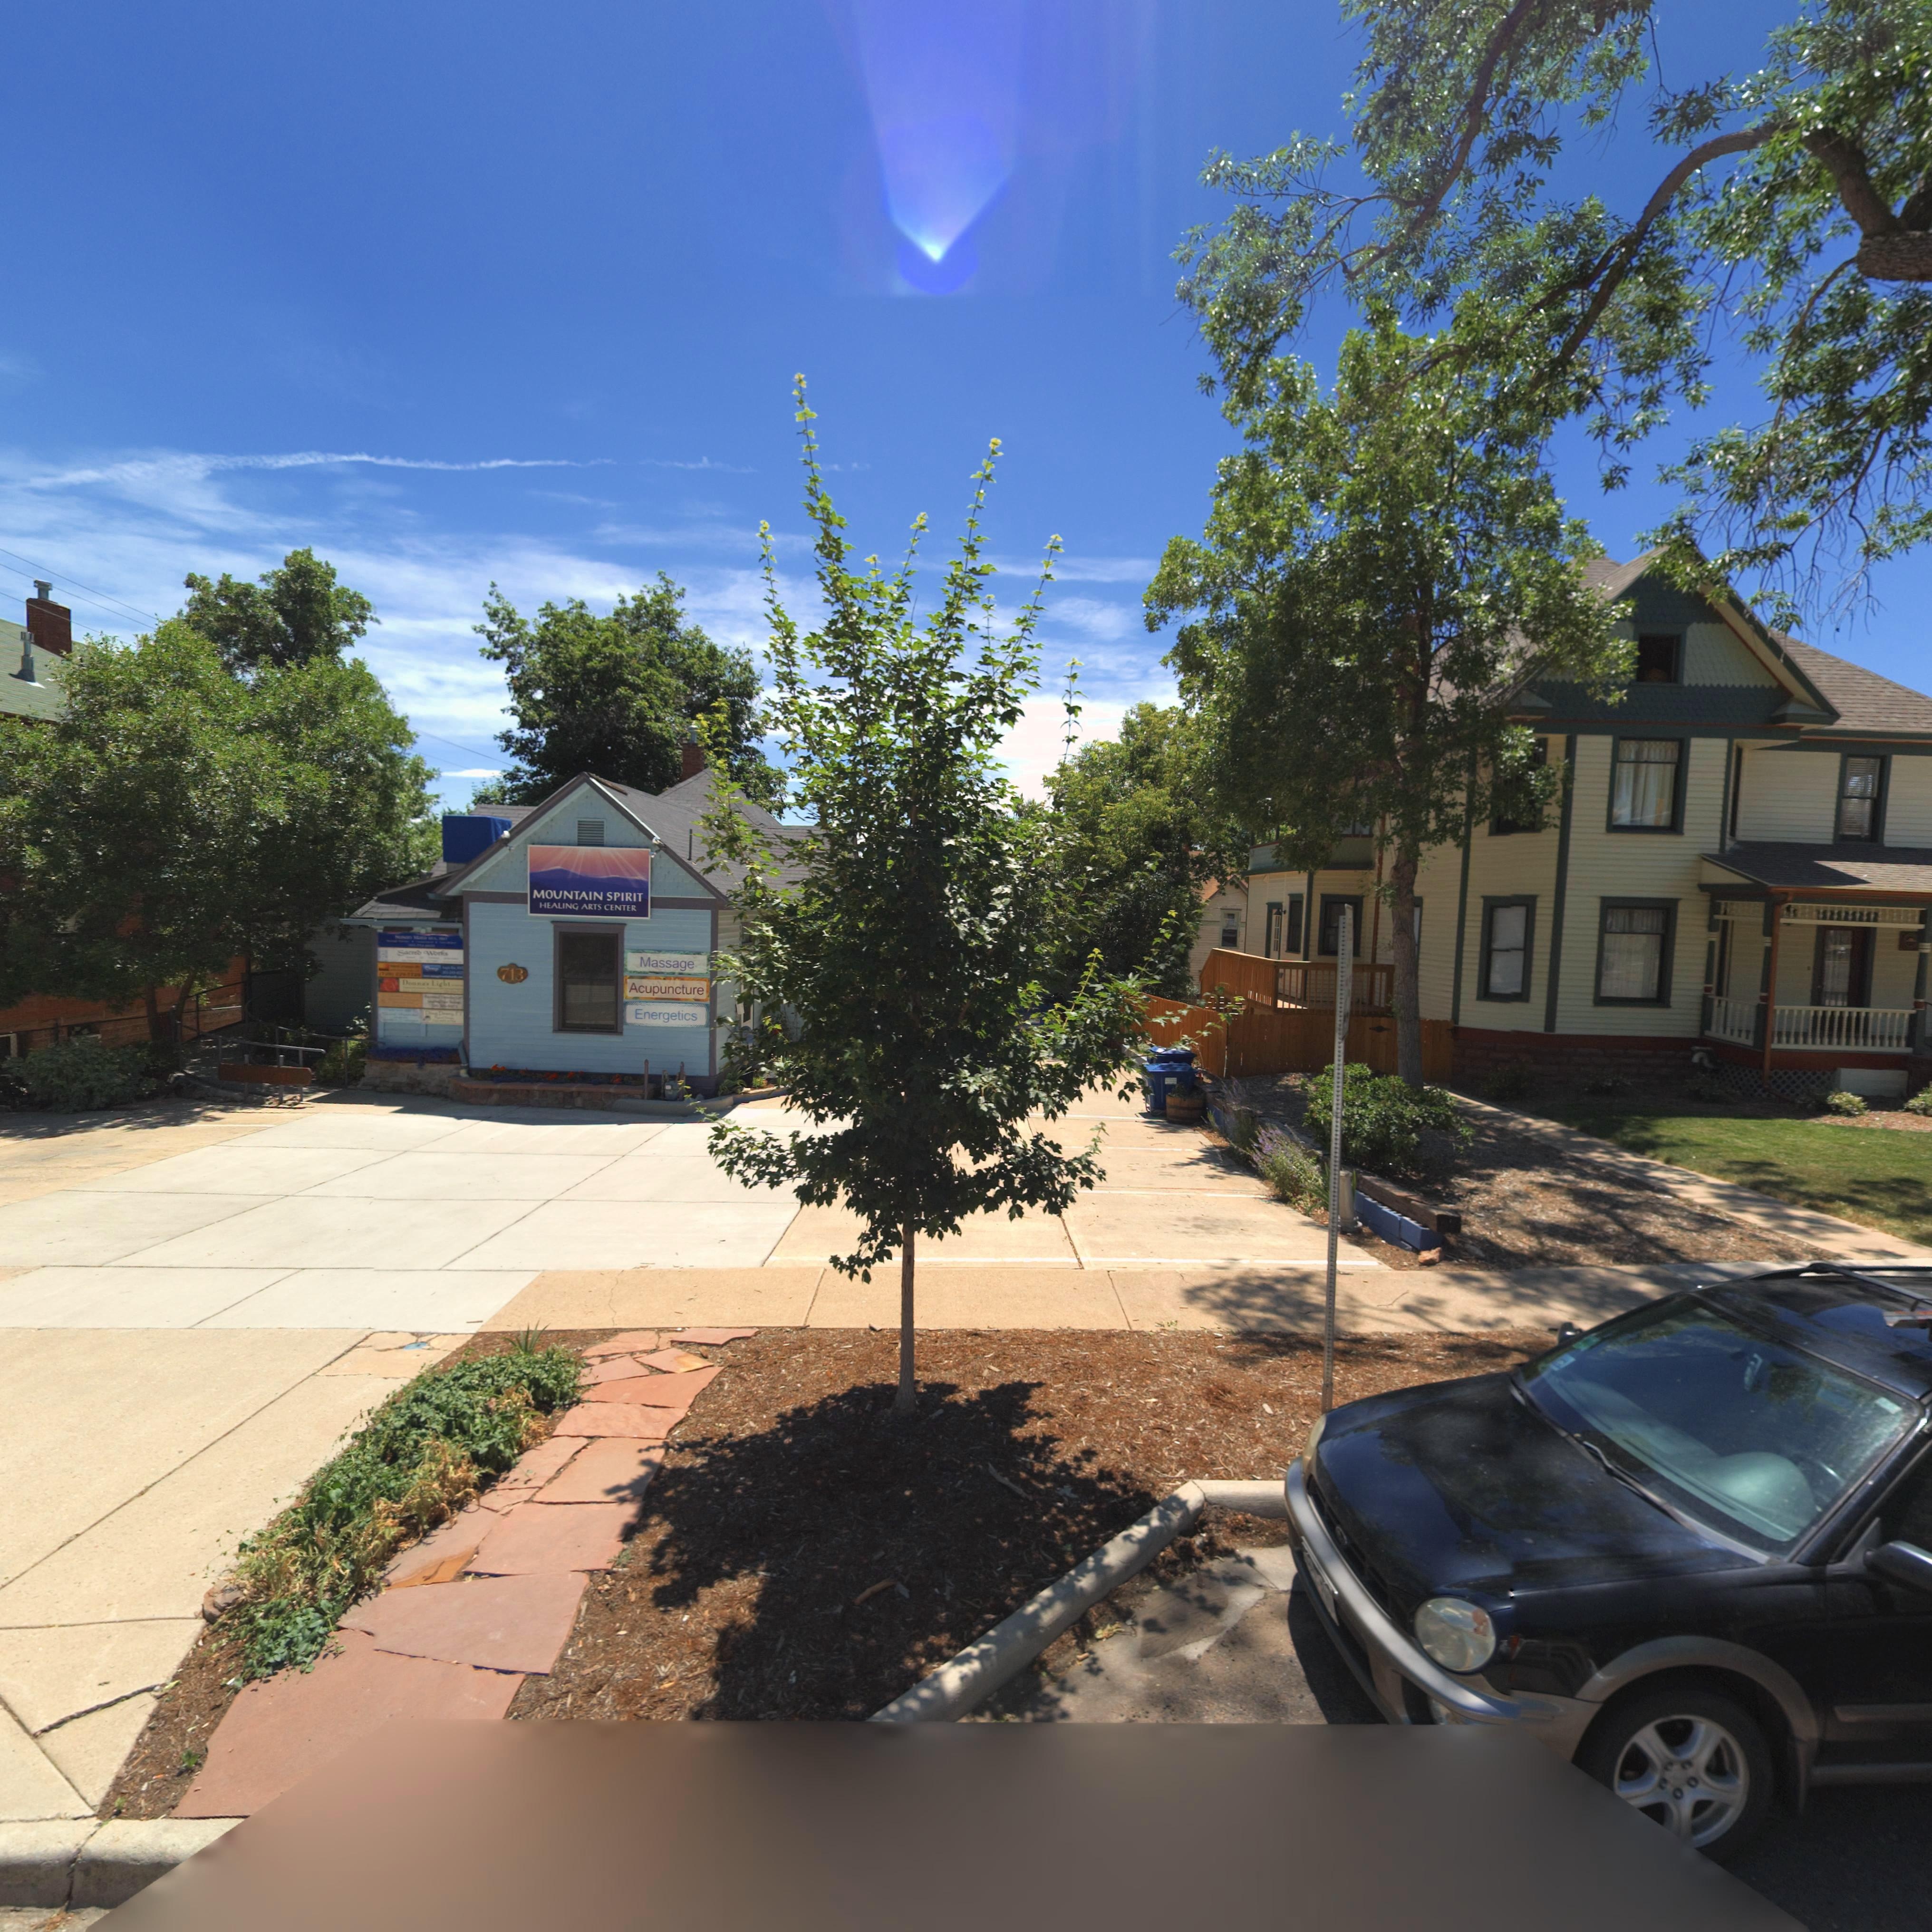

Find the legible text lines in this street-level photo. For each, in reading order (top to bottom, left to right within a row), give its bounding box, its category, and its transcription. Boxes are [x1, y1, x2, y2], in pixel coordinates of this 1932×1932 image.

[532, 889, 643, 902] BusinessName: MOUNTAIN SPIRIT
[539, 901, 637, 911] BusinessName: HEALING ARTS CENTER
[397, 949, 449, 956] BusinessName: Sacred Works
[501, 967, 523, 981] StreetNumber: 713
[403, 978, 451, 987] BusinessName: Donna's Light